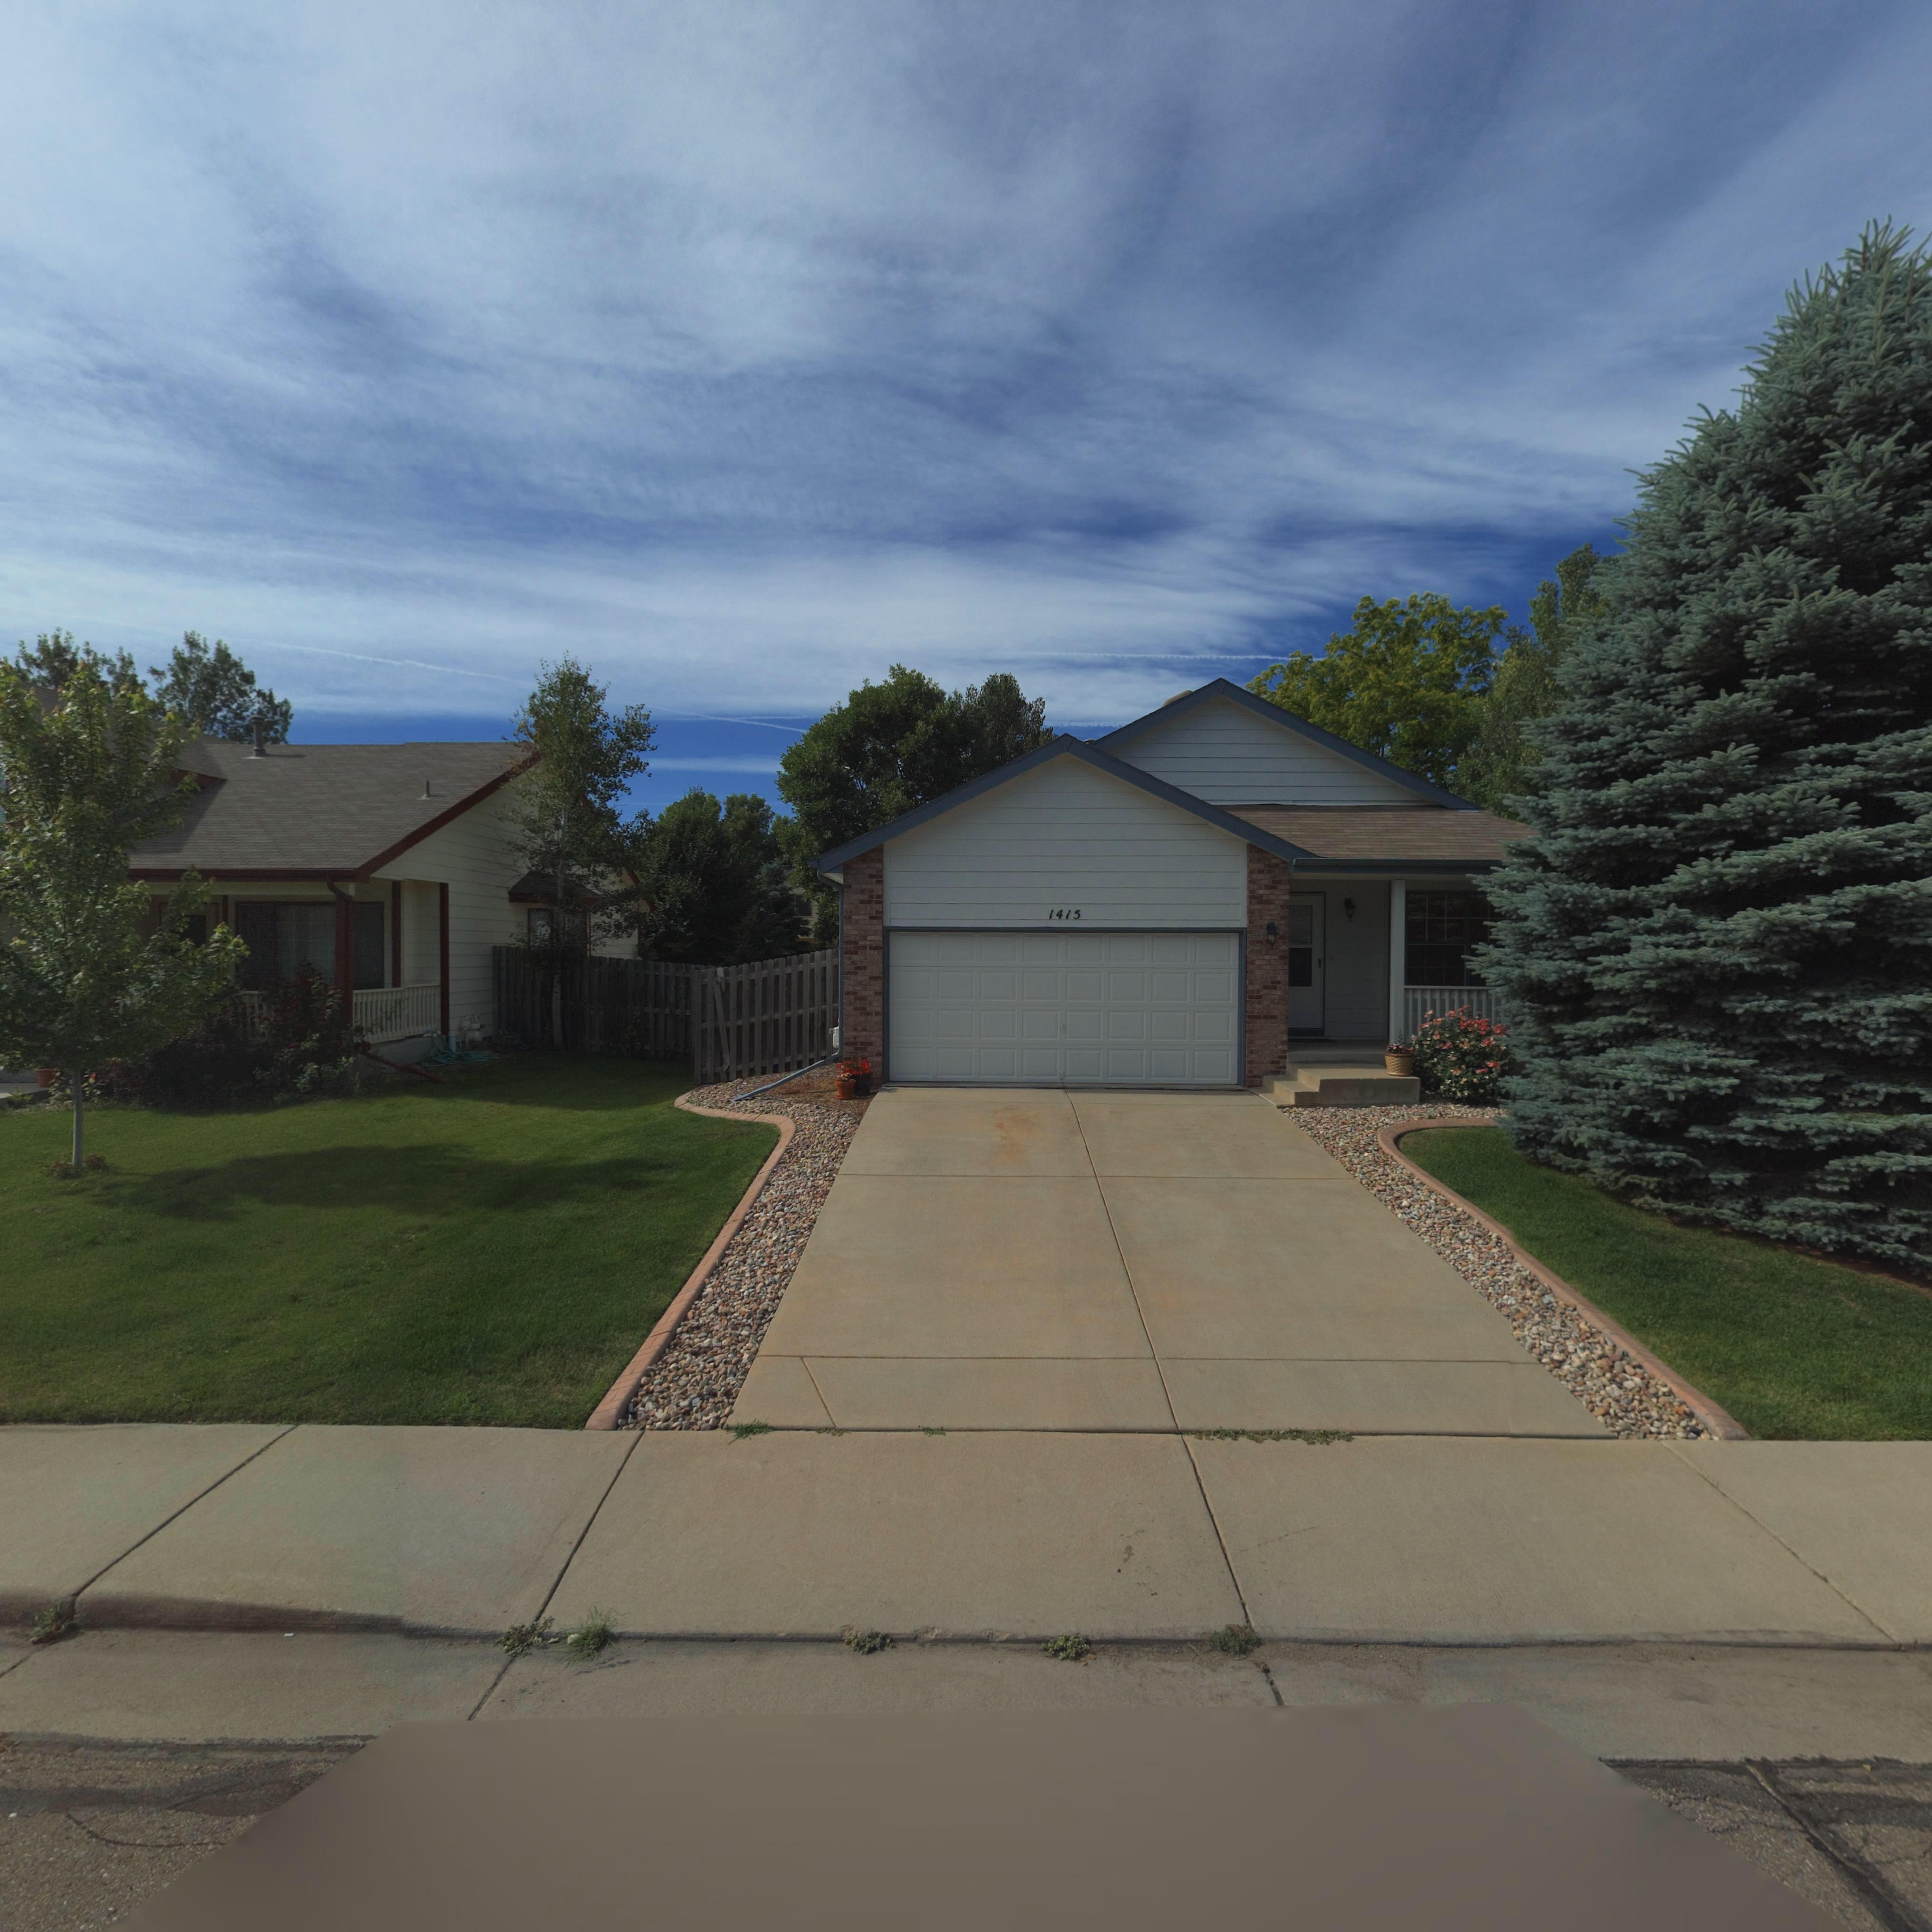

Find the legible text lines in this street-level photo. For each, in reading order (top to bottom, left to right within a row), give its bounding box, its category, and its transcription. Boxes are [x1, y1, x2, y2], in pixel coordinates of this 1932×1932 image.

[1049, 908, 1081, 920] StreetNumber: 1415